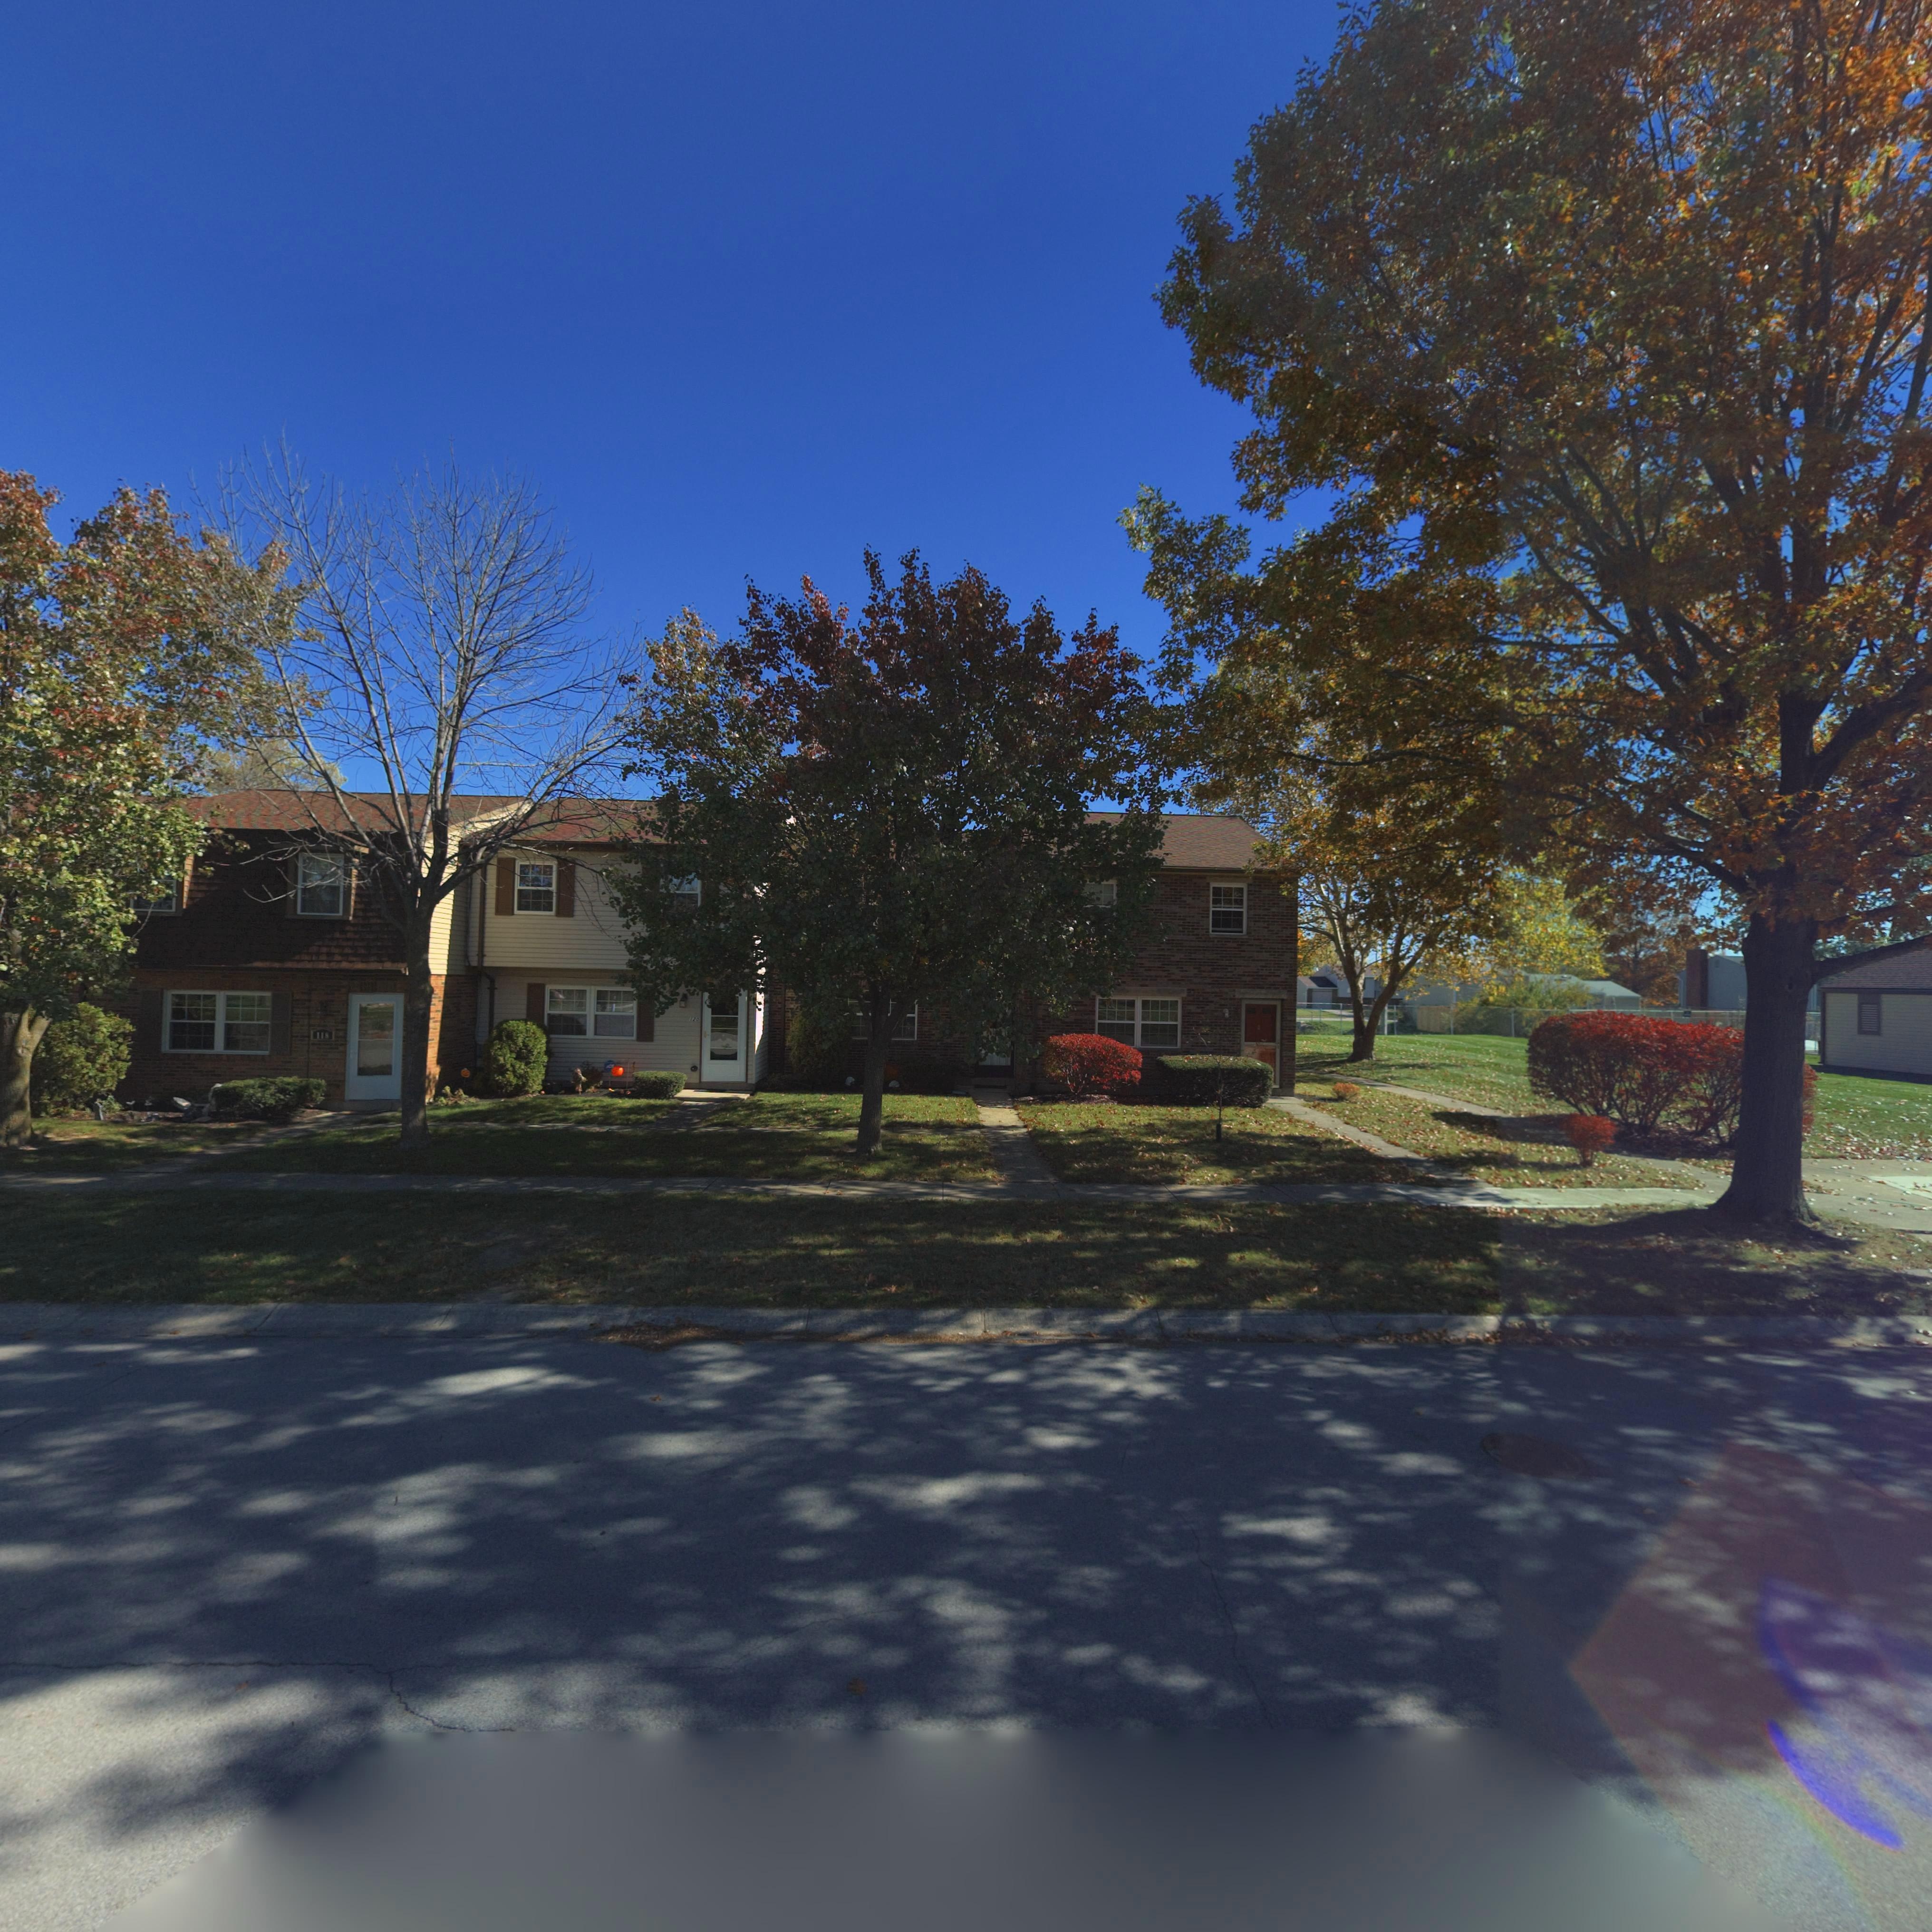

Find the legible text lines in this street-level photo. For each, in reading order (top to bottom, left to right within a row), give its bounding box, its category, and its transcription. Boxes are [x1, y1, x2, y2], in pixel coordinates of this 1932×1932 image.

[689, 1016, 700, 1022] StreetNumber: 120
[316, 1031, 329, 1040] StreetNumber: 118